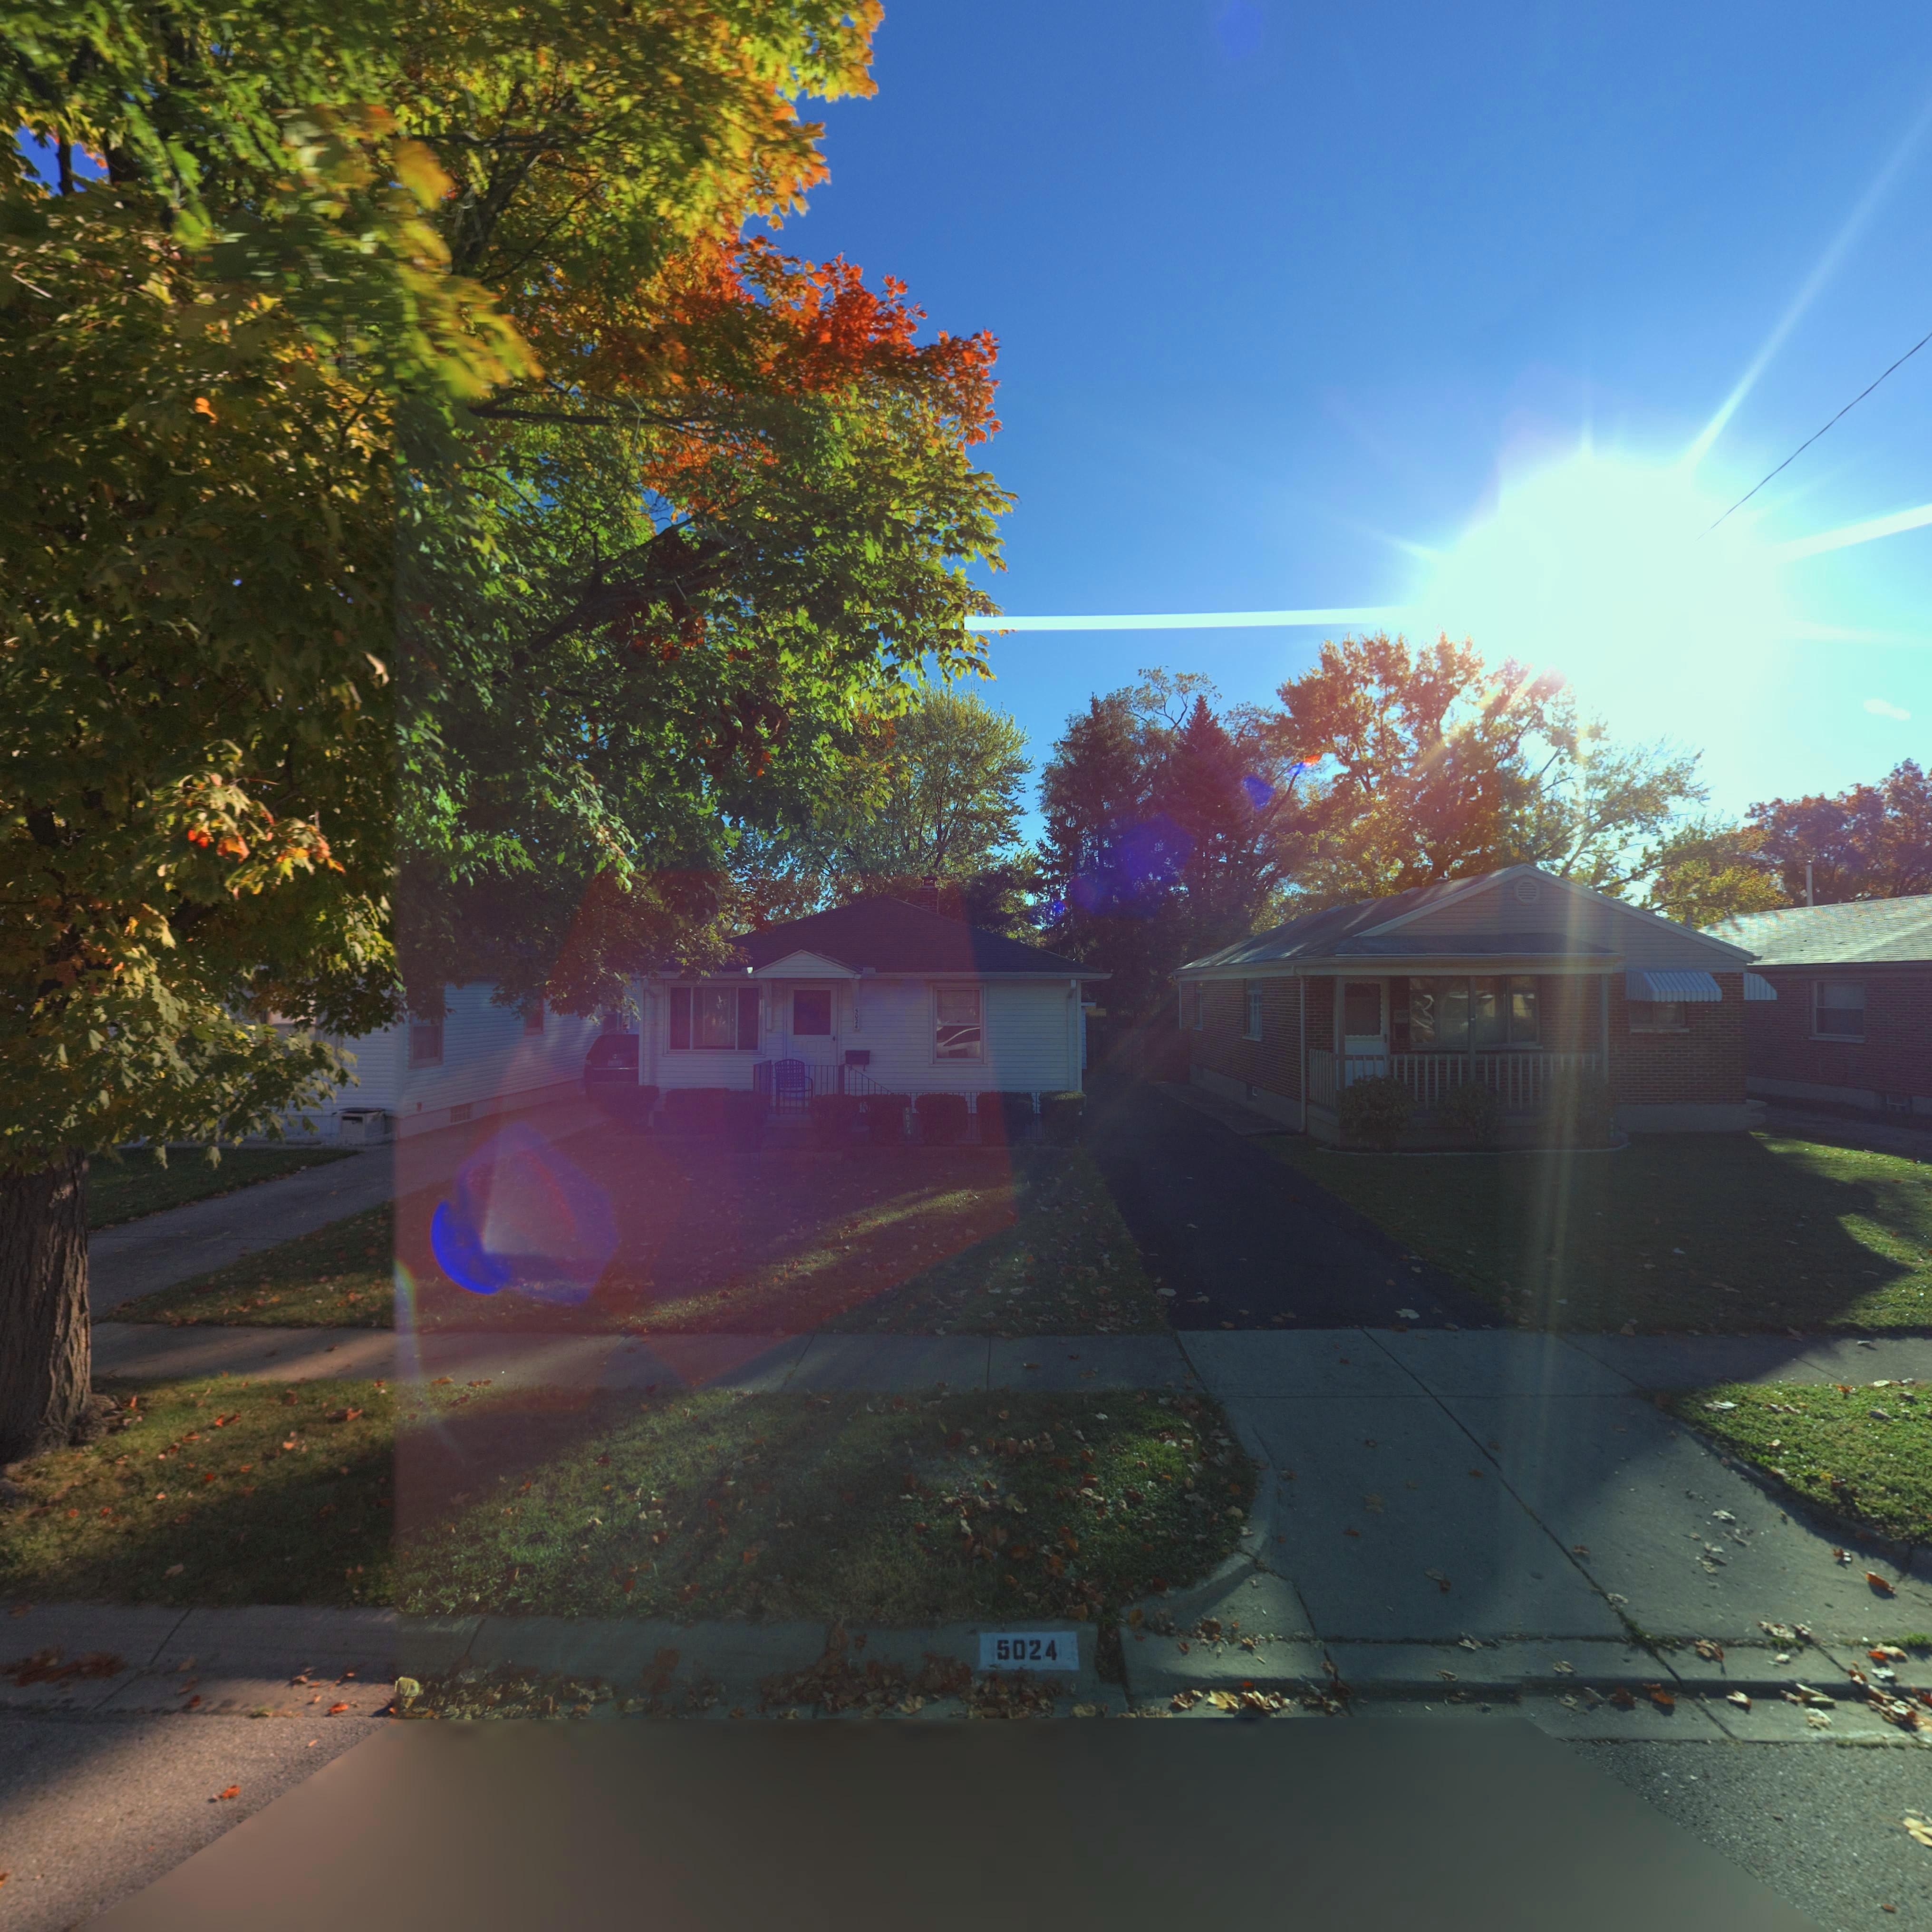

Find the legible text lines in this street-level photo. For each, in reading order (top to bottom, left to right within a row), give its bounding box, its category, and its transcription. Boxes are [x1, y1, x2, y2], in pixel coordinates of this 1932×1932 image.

[854, 1008, 859, 1029] StreetNumber: 5024
[1394, 1013, 1410, 1020] StreetNumber: *0*0
[905, 1107, 911, 1135] StreetNumber: 5024
[1609, 1117, 1614, 1137] StreetNumber: 0*0
[996, 1639, 1057, 1661] StreetNumber: 5024